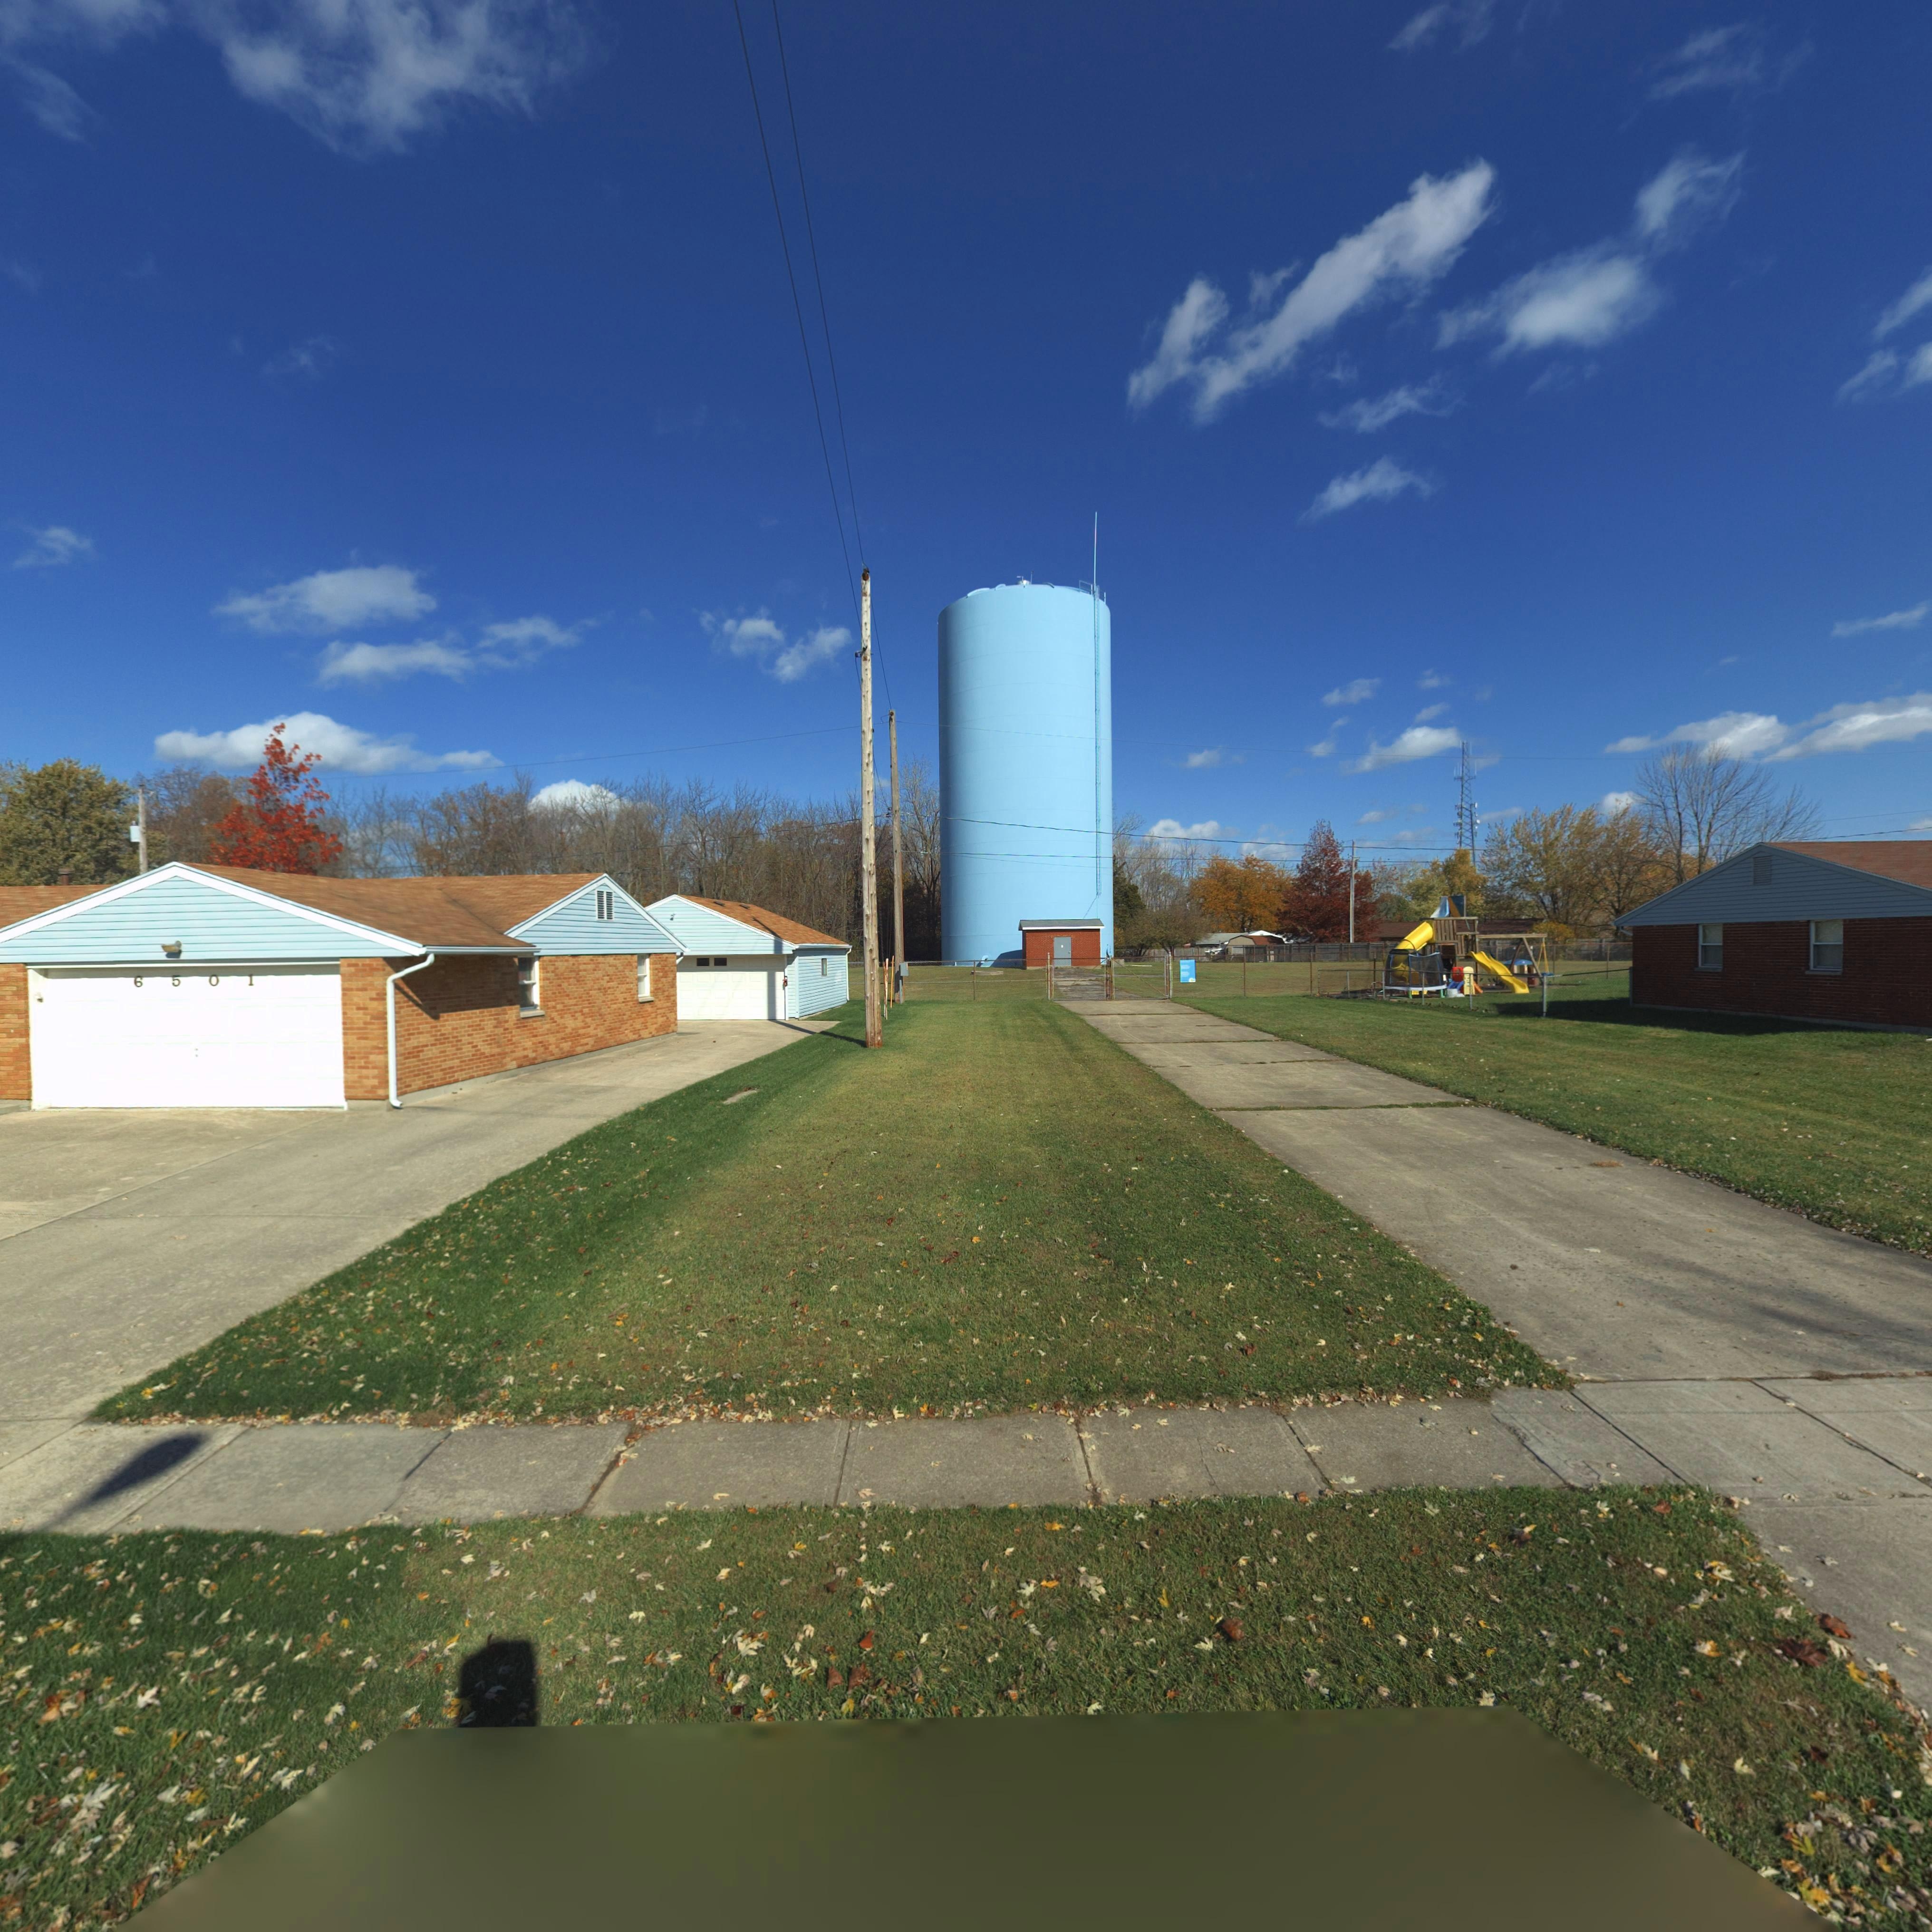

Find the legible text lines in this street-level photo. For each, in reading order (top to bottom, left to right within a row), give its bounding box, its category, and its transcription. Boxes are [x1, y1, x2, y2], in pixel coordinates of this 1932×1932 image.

[134, 973, 254, 988] StreetNumber: 6501